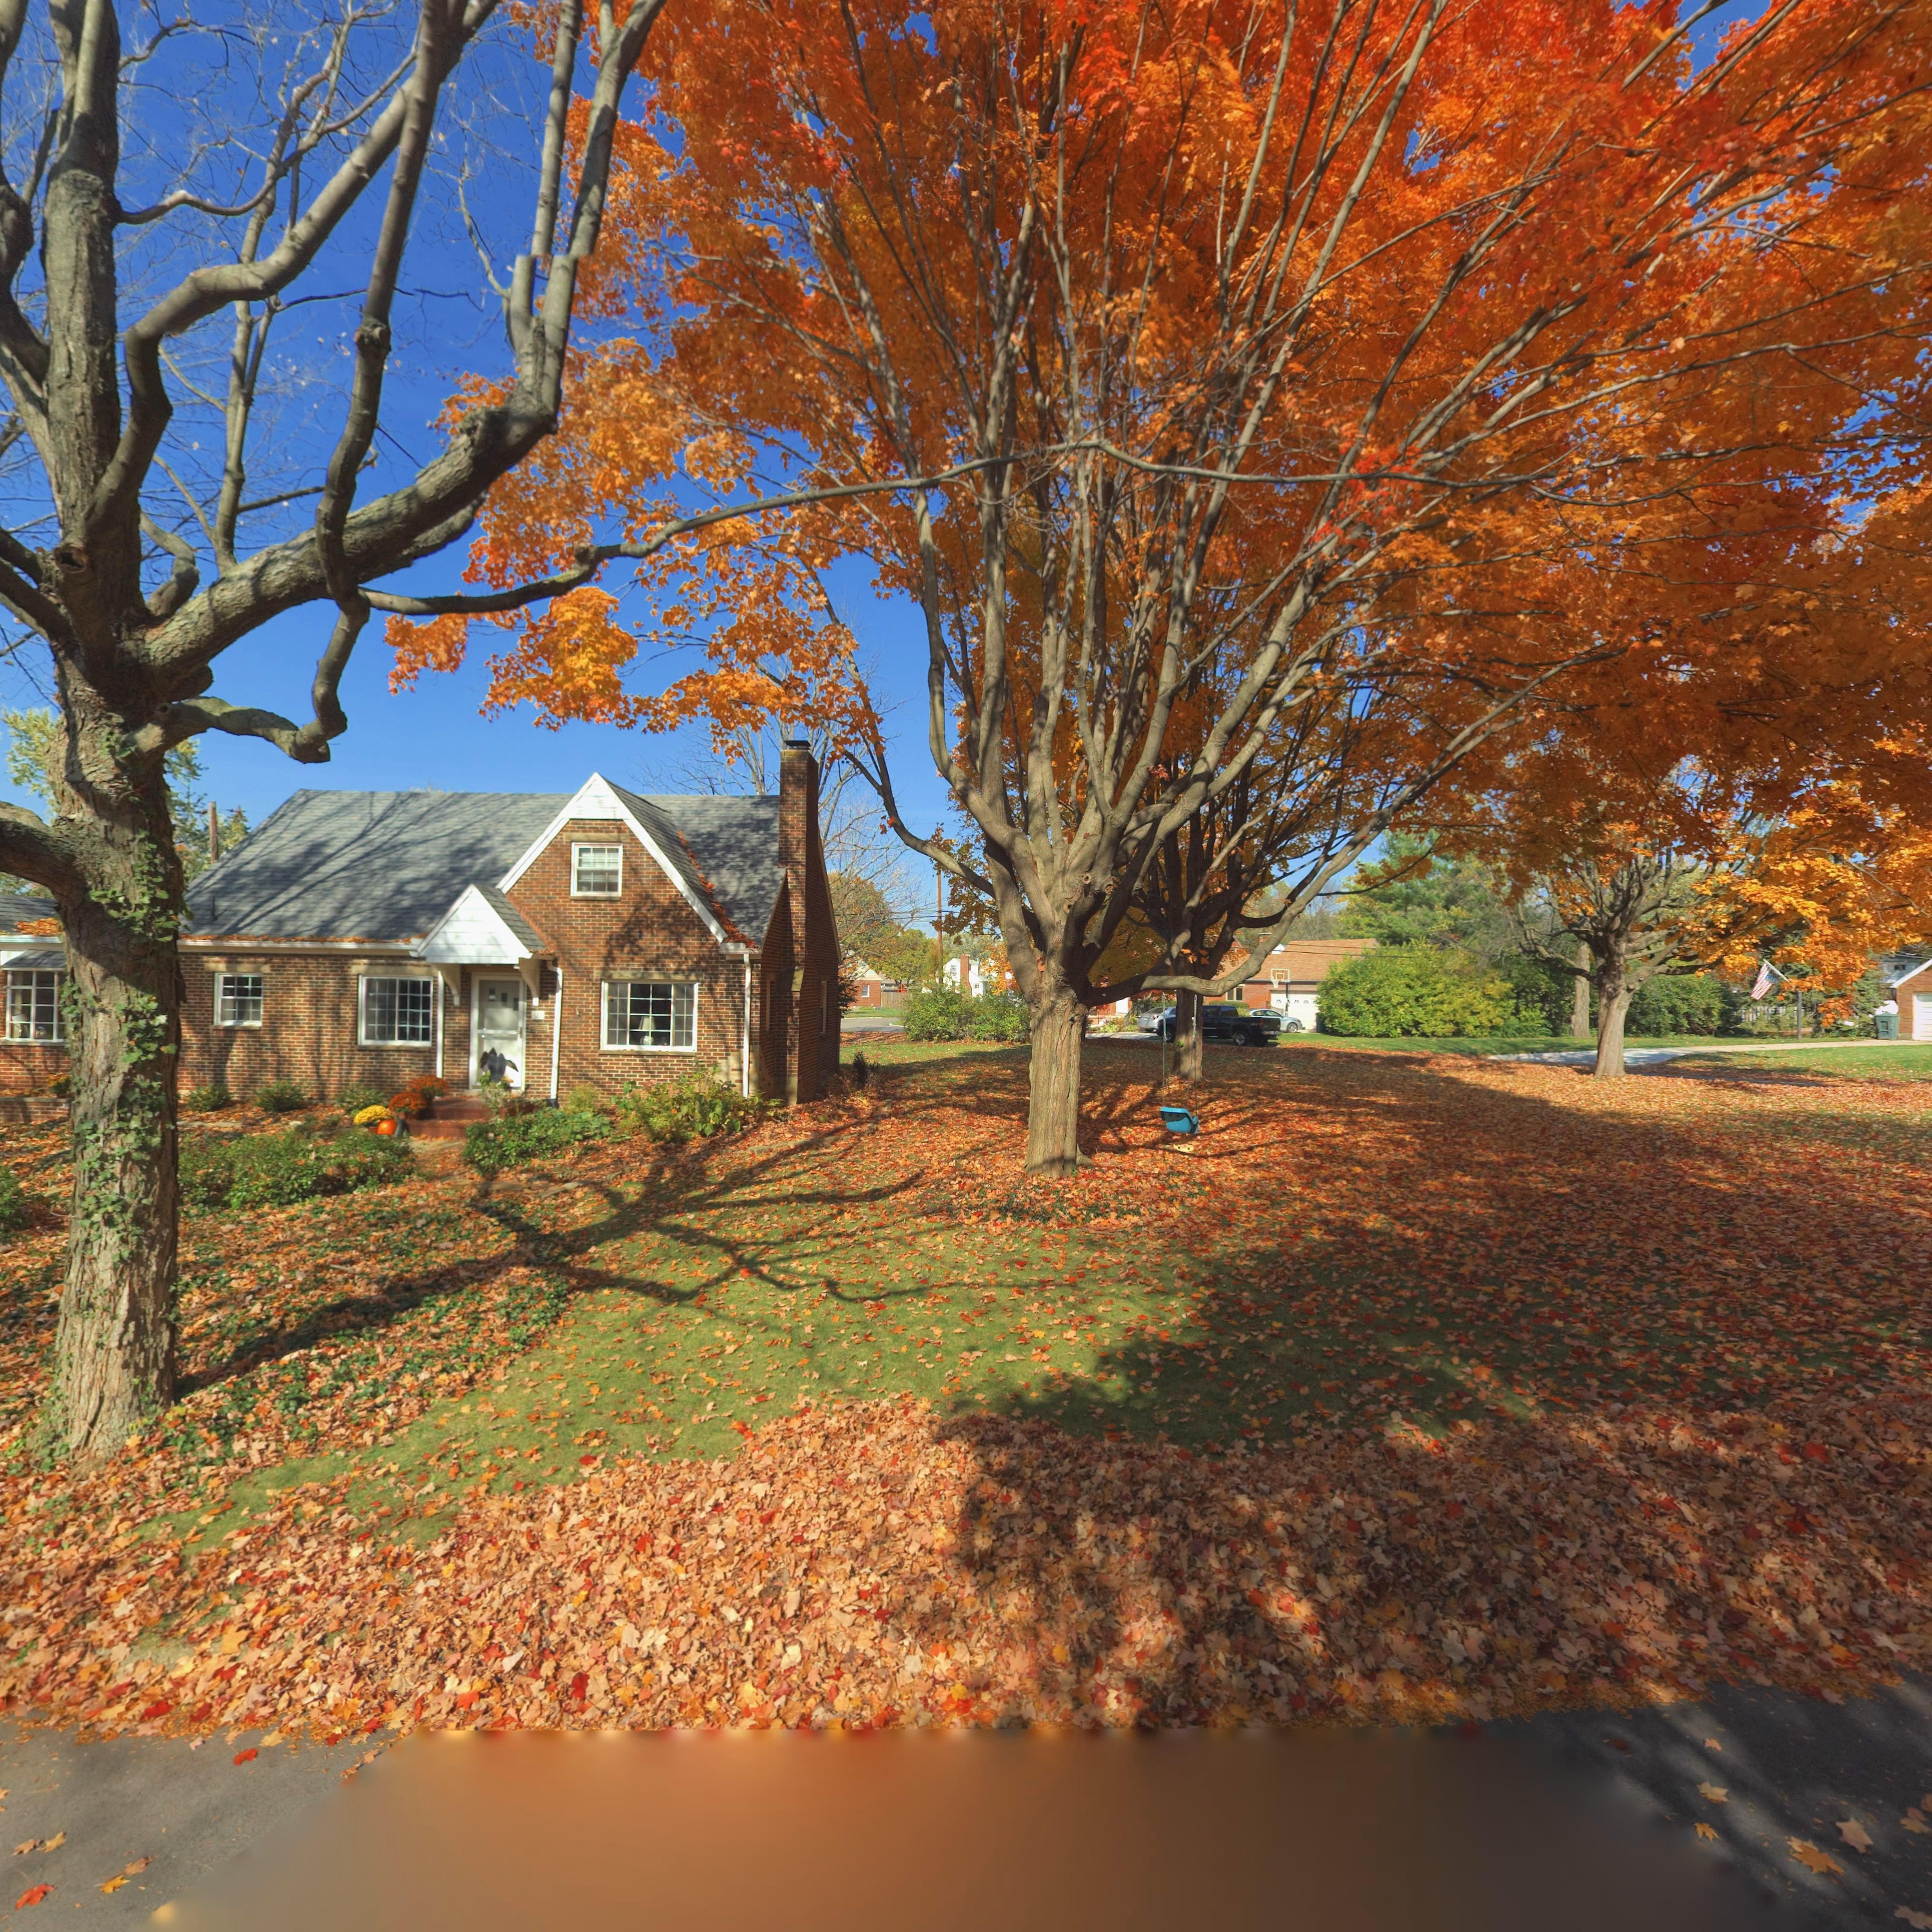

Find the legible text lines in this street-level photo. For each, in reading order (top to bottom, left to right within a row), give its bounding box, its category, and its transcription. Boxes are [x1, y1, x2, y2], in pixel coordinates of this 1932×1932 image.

[532, 1012, 543, 1019] StreetNumber: 62*